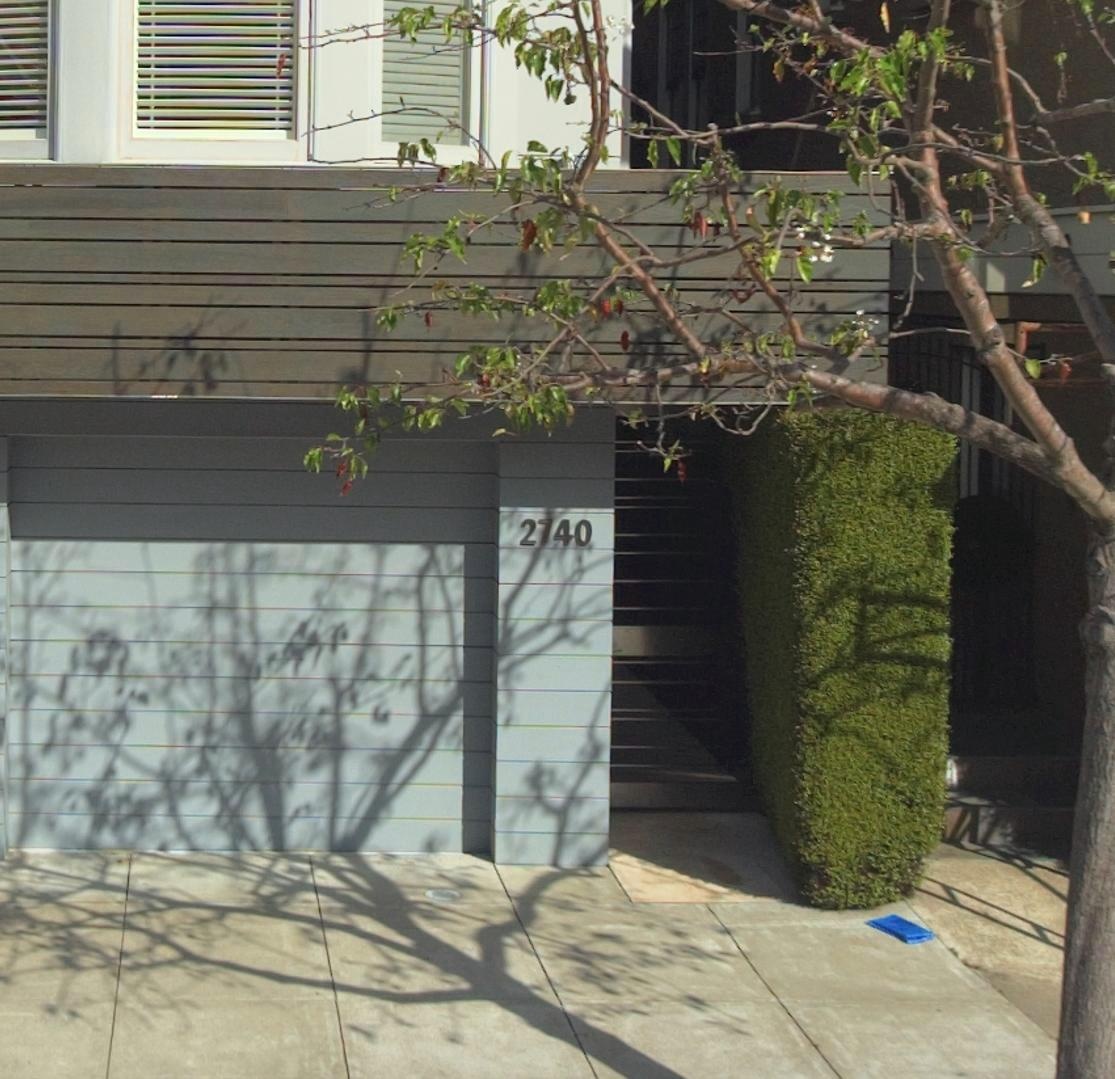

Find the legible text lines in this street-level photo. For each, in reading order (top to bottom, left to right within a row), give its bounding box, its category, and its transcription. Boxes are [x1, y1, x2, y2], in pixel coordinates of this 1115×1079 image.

[517, 516, 594, 548] StreetNumber: 2740